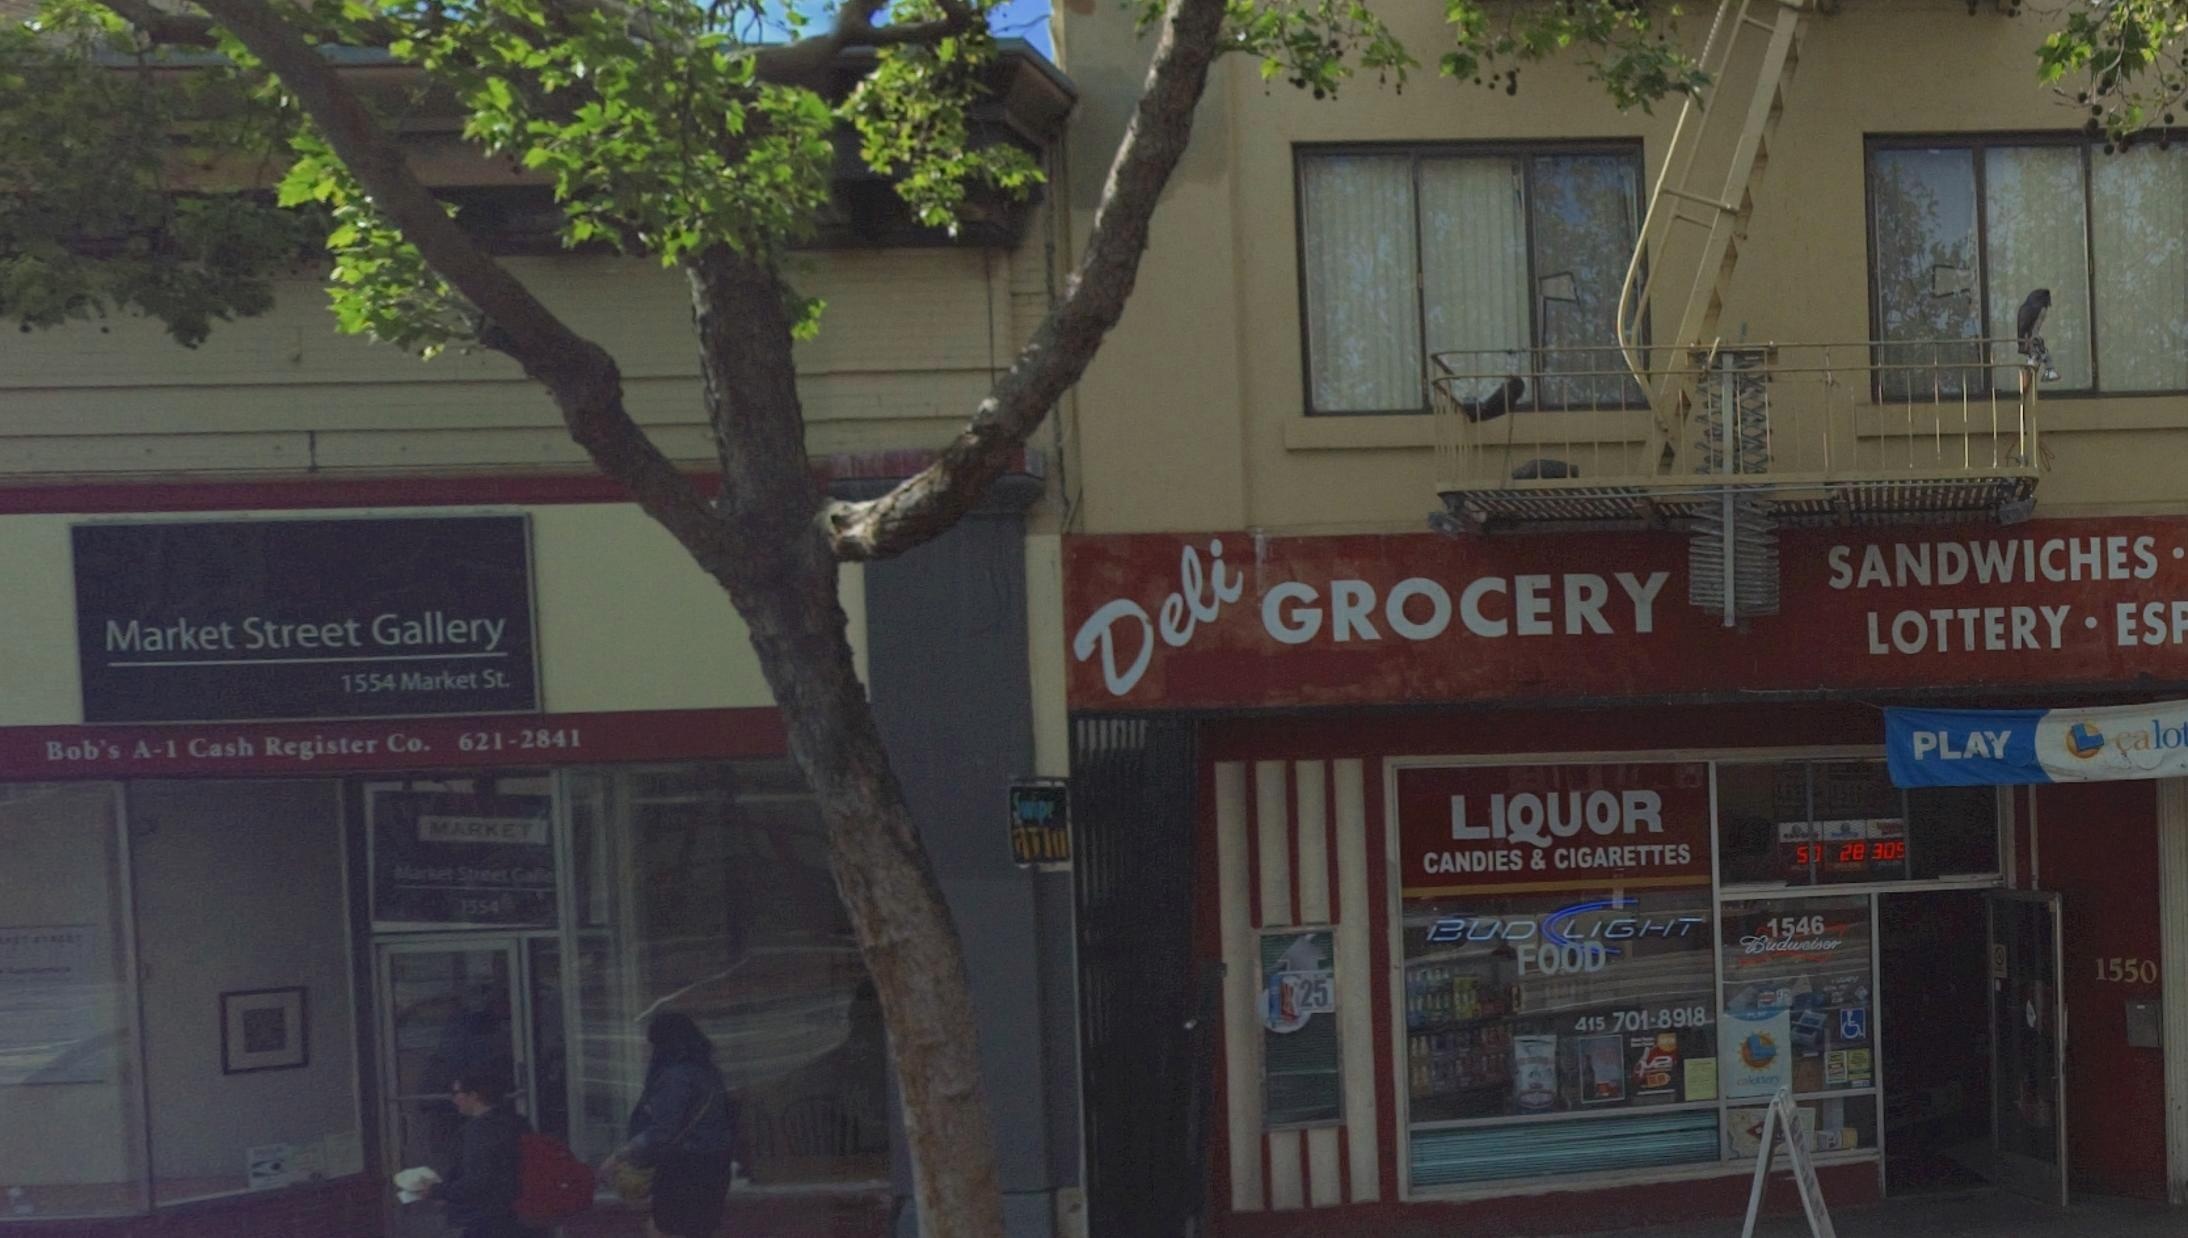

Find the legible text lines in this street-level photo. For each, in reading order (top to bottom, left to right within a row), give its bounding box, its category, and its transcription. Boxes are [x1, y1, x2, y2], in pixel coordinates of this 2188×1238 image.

[1820, 531, 2164, 595] None: SANDWICHES
[103, 604, 514, 656] BusinessName: Market Street Gallery
[1055, 518, 1256, 709] BusinessName: Deli
[1253, 565, 1678, 649] BusinessName: GROCERY
[1862, 600, 2076, 658] None: LOTTERY
[2112, 597, 2174, 650] None: ES
[337, 669, 399, 697] StreetNumber: 1554
[398, 665, 514, 694] StreetName: Market St.
[39, 725, 585, 766] None: Bob's A-1 Cash Register Co. 621-2841
[1908, 725, 2017, 765] None: PLAY
[2112, 716, 2186, 758] None: *alo
[425, 817, 537, 843] StreetName: MARKET
[1009, 787, 1057, 830] None: Swipe
[1448, 786, 1668, 851] None: LIQUOR
[391, 860, 556, 888] BusinessName: Market Street Galle
[1418, 841, 1696, 878] None: CANDIES & CIGARETTES
[1793, 842, 1812, 867] None: 5
[1835, 839, 1868, 864] None: 28
[1868, 839, 1898, 862] None: 30
[457, 894, 504, 918] StreetNumber: 1554
[1514, 937, 1610, 980] None: FOOD
[1419, 914, 1706, 944] None: BUD LIGHT
[1737, 931, 1847, 957] None: Budweiser
[1762, 911, 1830, 941] StreetNumber: 1546
[2091, 952, 2160, 988] StreetNumber: 1550
[1296, 974, 1334, 1011] None: 25
[1572, 1003, 1709, 1035] None: 415 701-8918